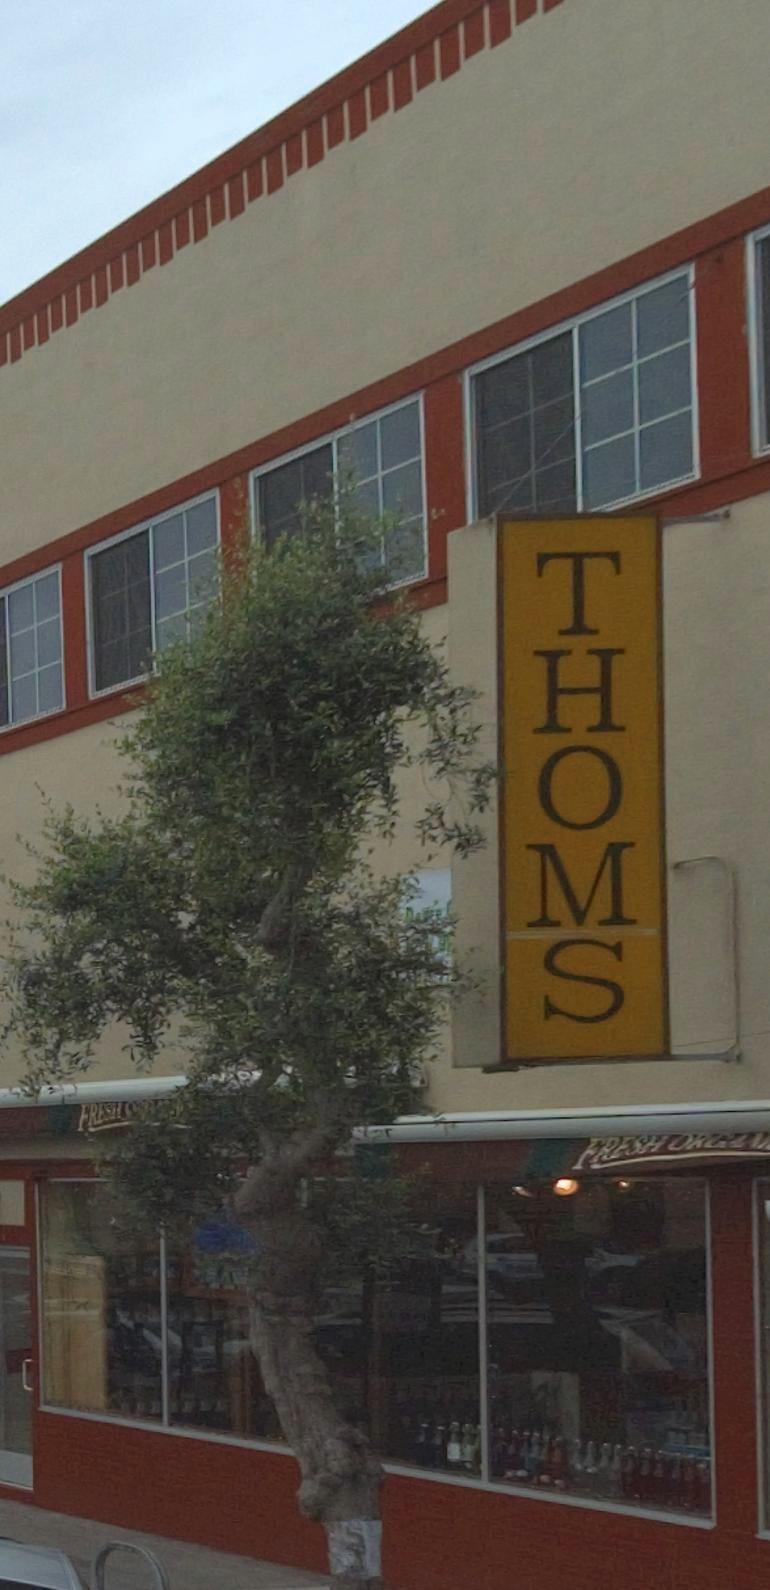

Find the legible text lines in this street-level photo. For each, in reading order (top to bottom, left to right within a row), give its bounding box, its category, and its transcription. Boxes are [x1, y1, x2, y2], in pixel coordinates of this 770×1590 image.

[519, 545, 645, 1031] BusinessName: THOMS
[74, 1099, 124, 1135] None: FRESH
[567, 1129, 700, 1174] None: FRESH O